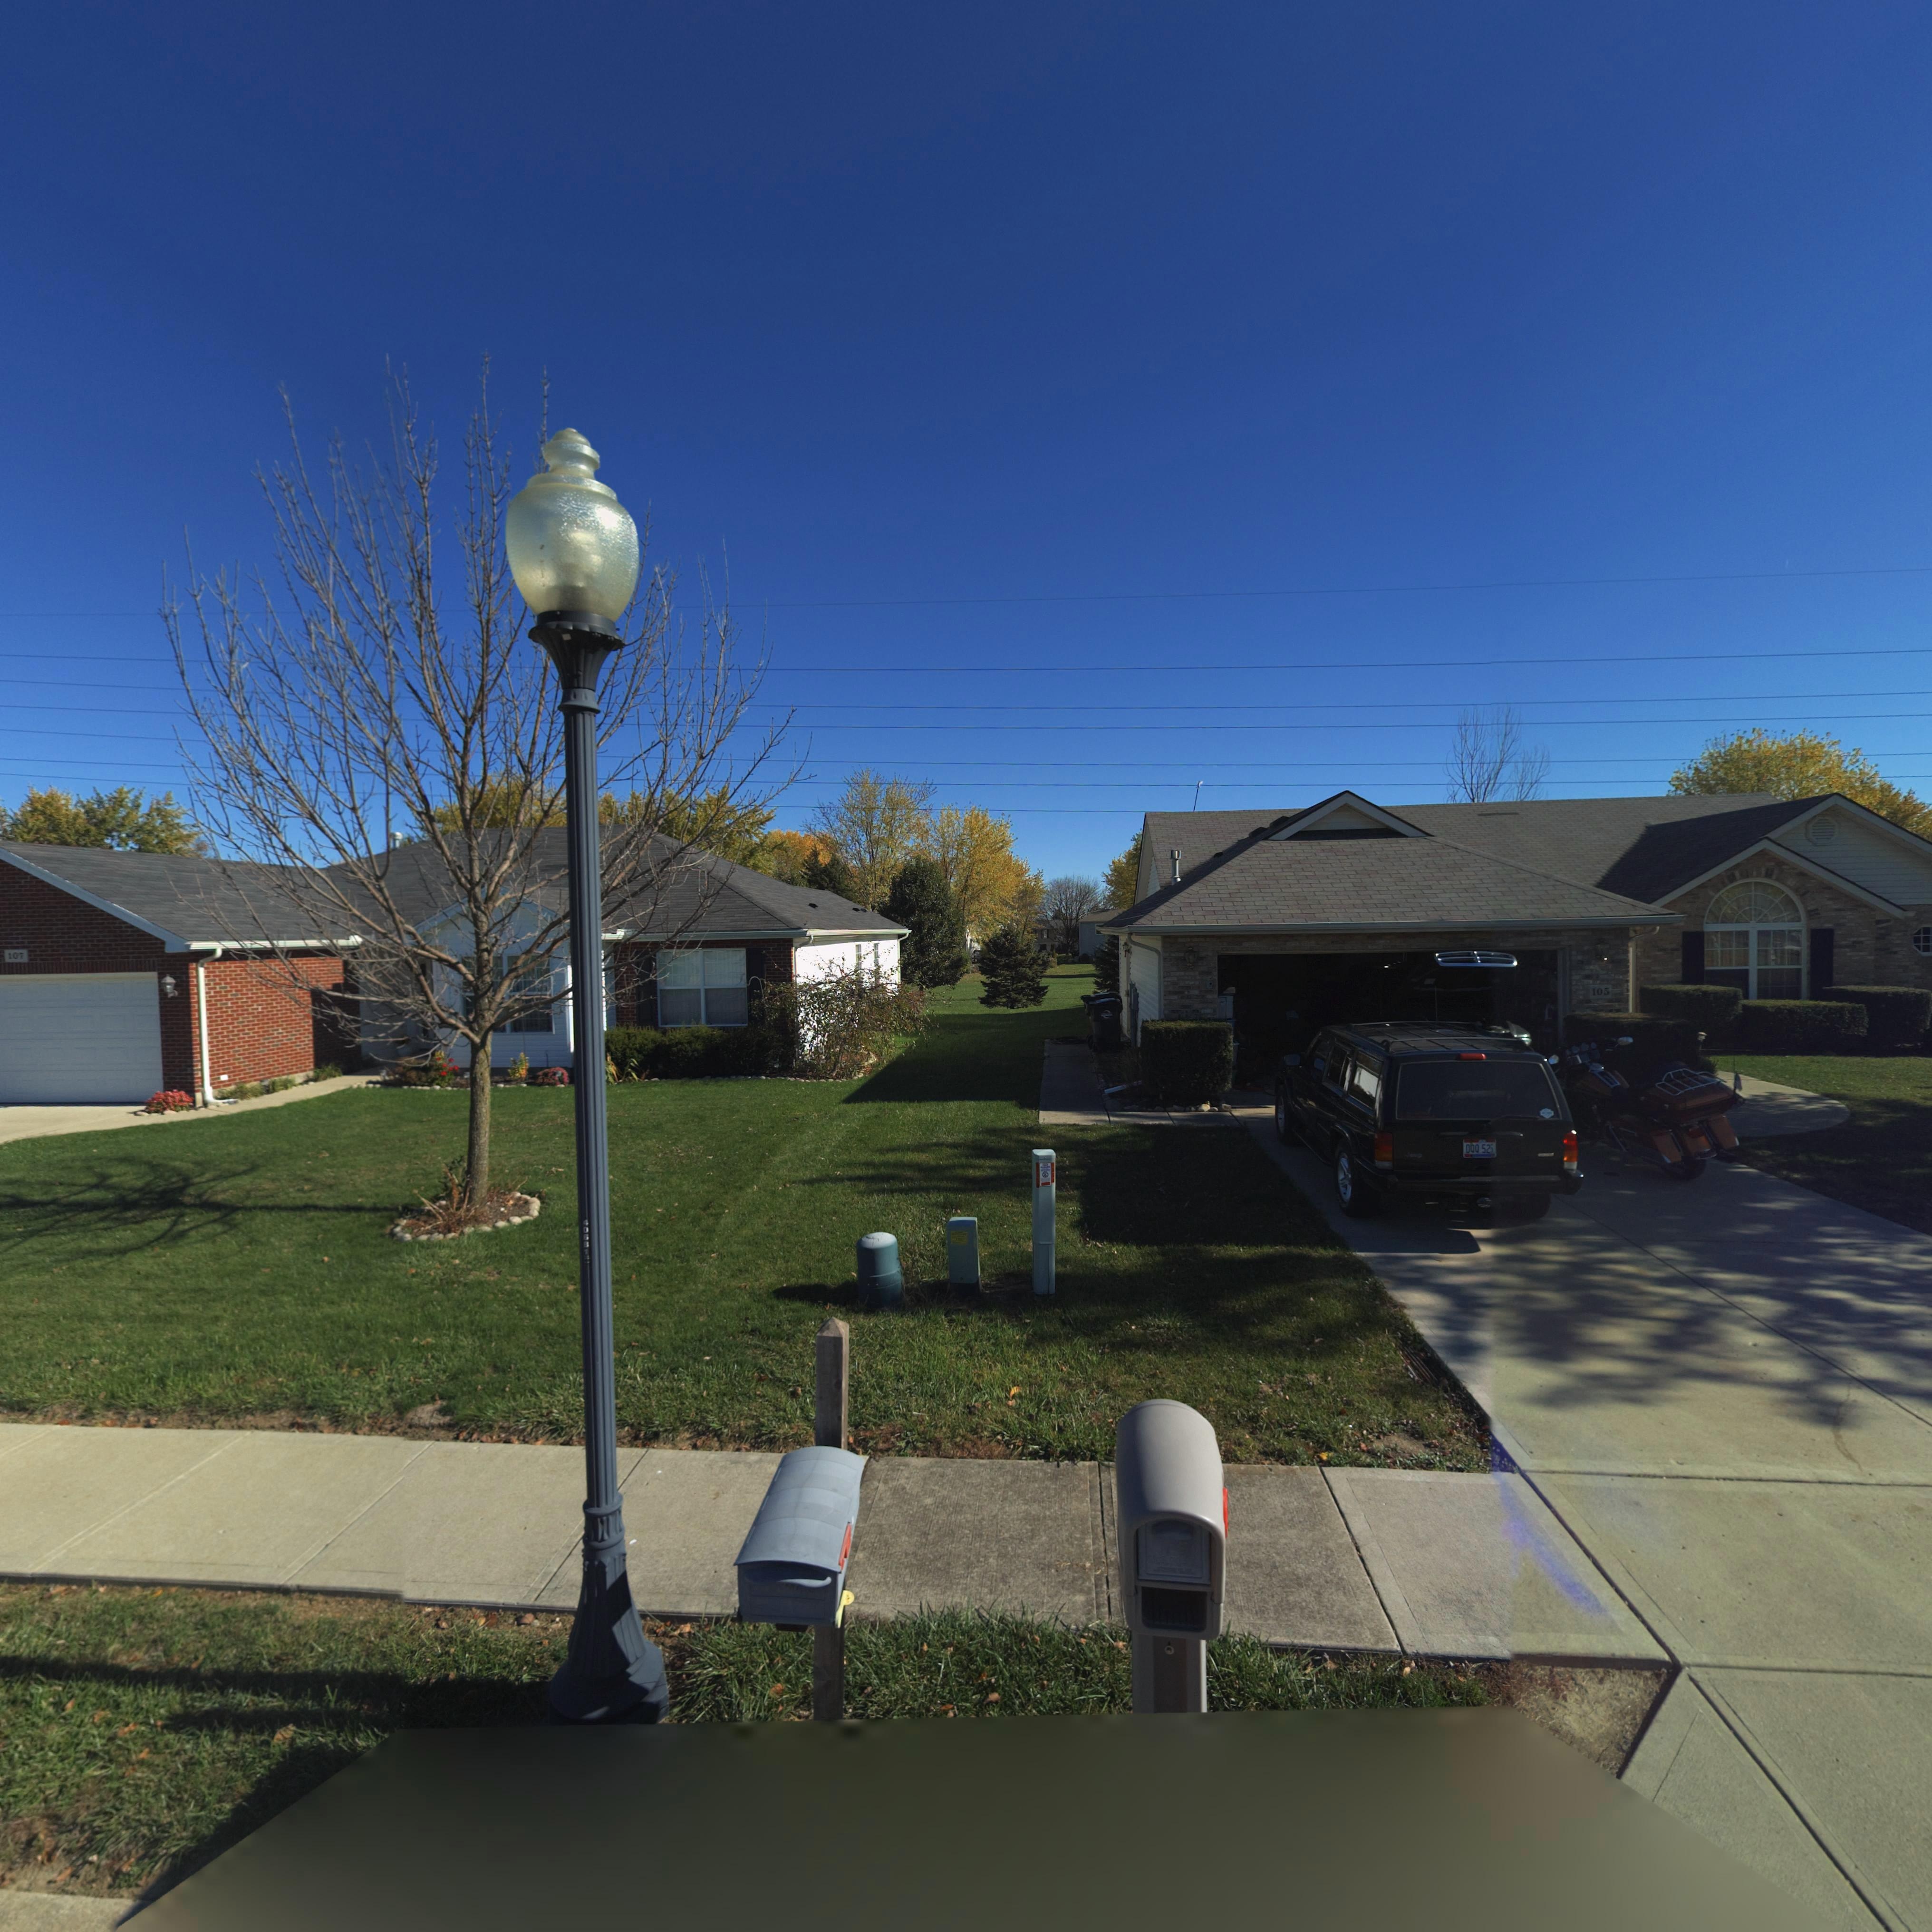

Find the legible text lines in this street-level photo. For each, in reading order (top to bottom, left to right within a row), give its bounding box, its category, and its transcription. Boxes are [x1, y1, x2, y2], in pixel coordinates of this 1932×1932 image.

[7, 951, 25, 960] StreetNumber: 107
[1592, 987, 1610, 996] StreetNumber: 105